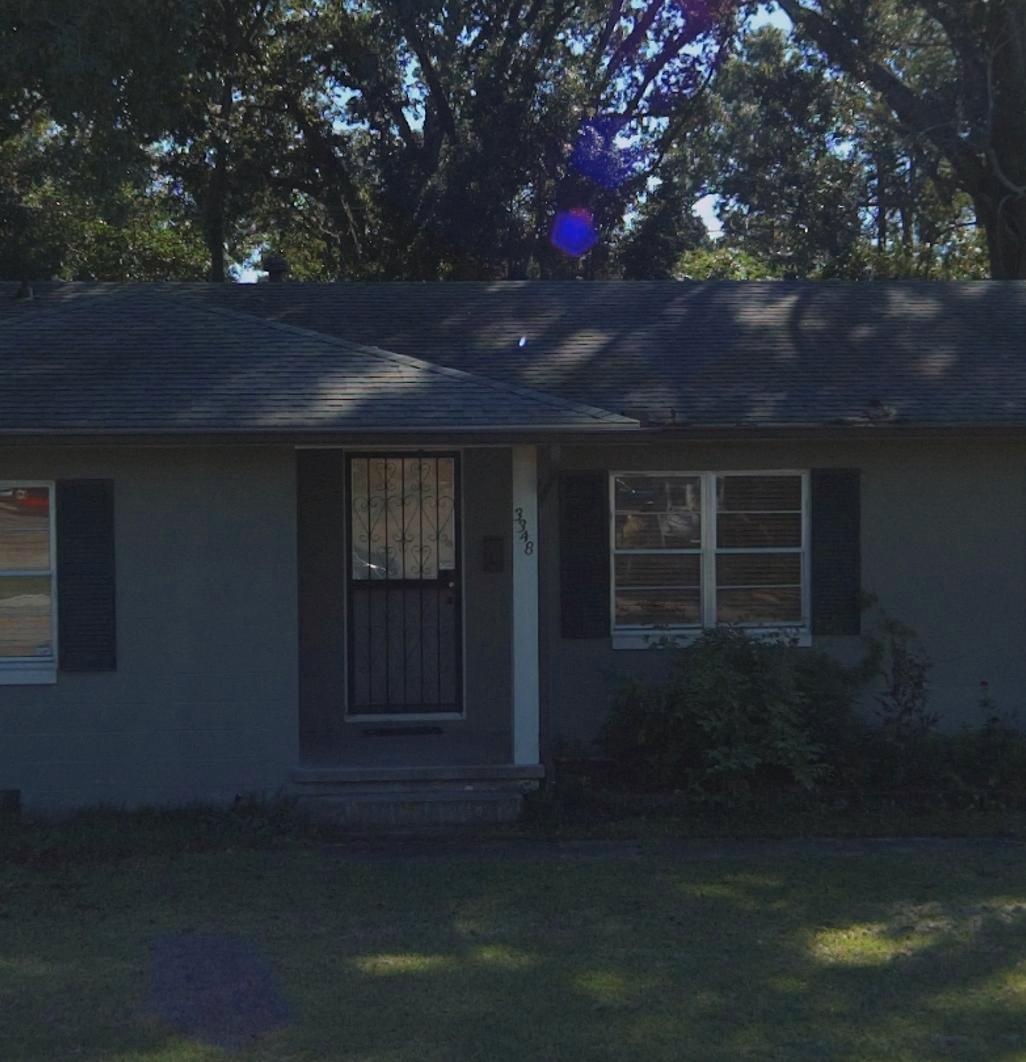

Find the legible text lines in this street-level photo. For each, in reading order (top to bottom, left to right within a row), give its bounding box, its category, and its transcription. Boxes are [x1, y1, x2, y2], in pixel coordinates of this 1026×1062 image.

[512, 507, 535, 556] StreetNumber: 3348